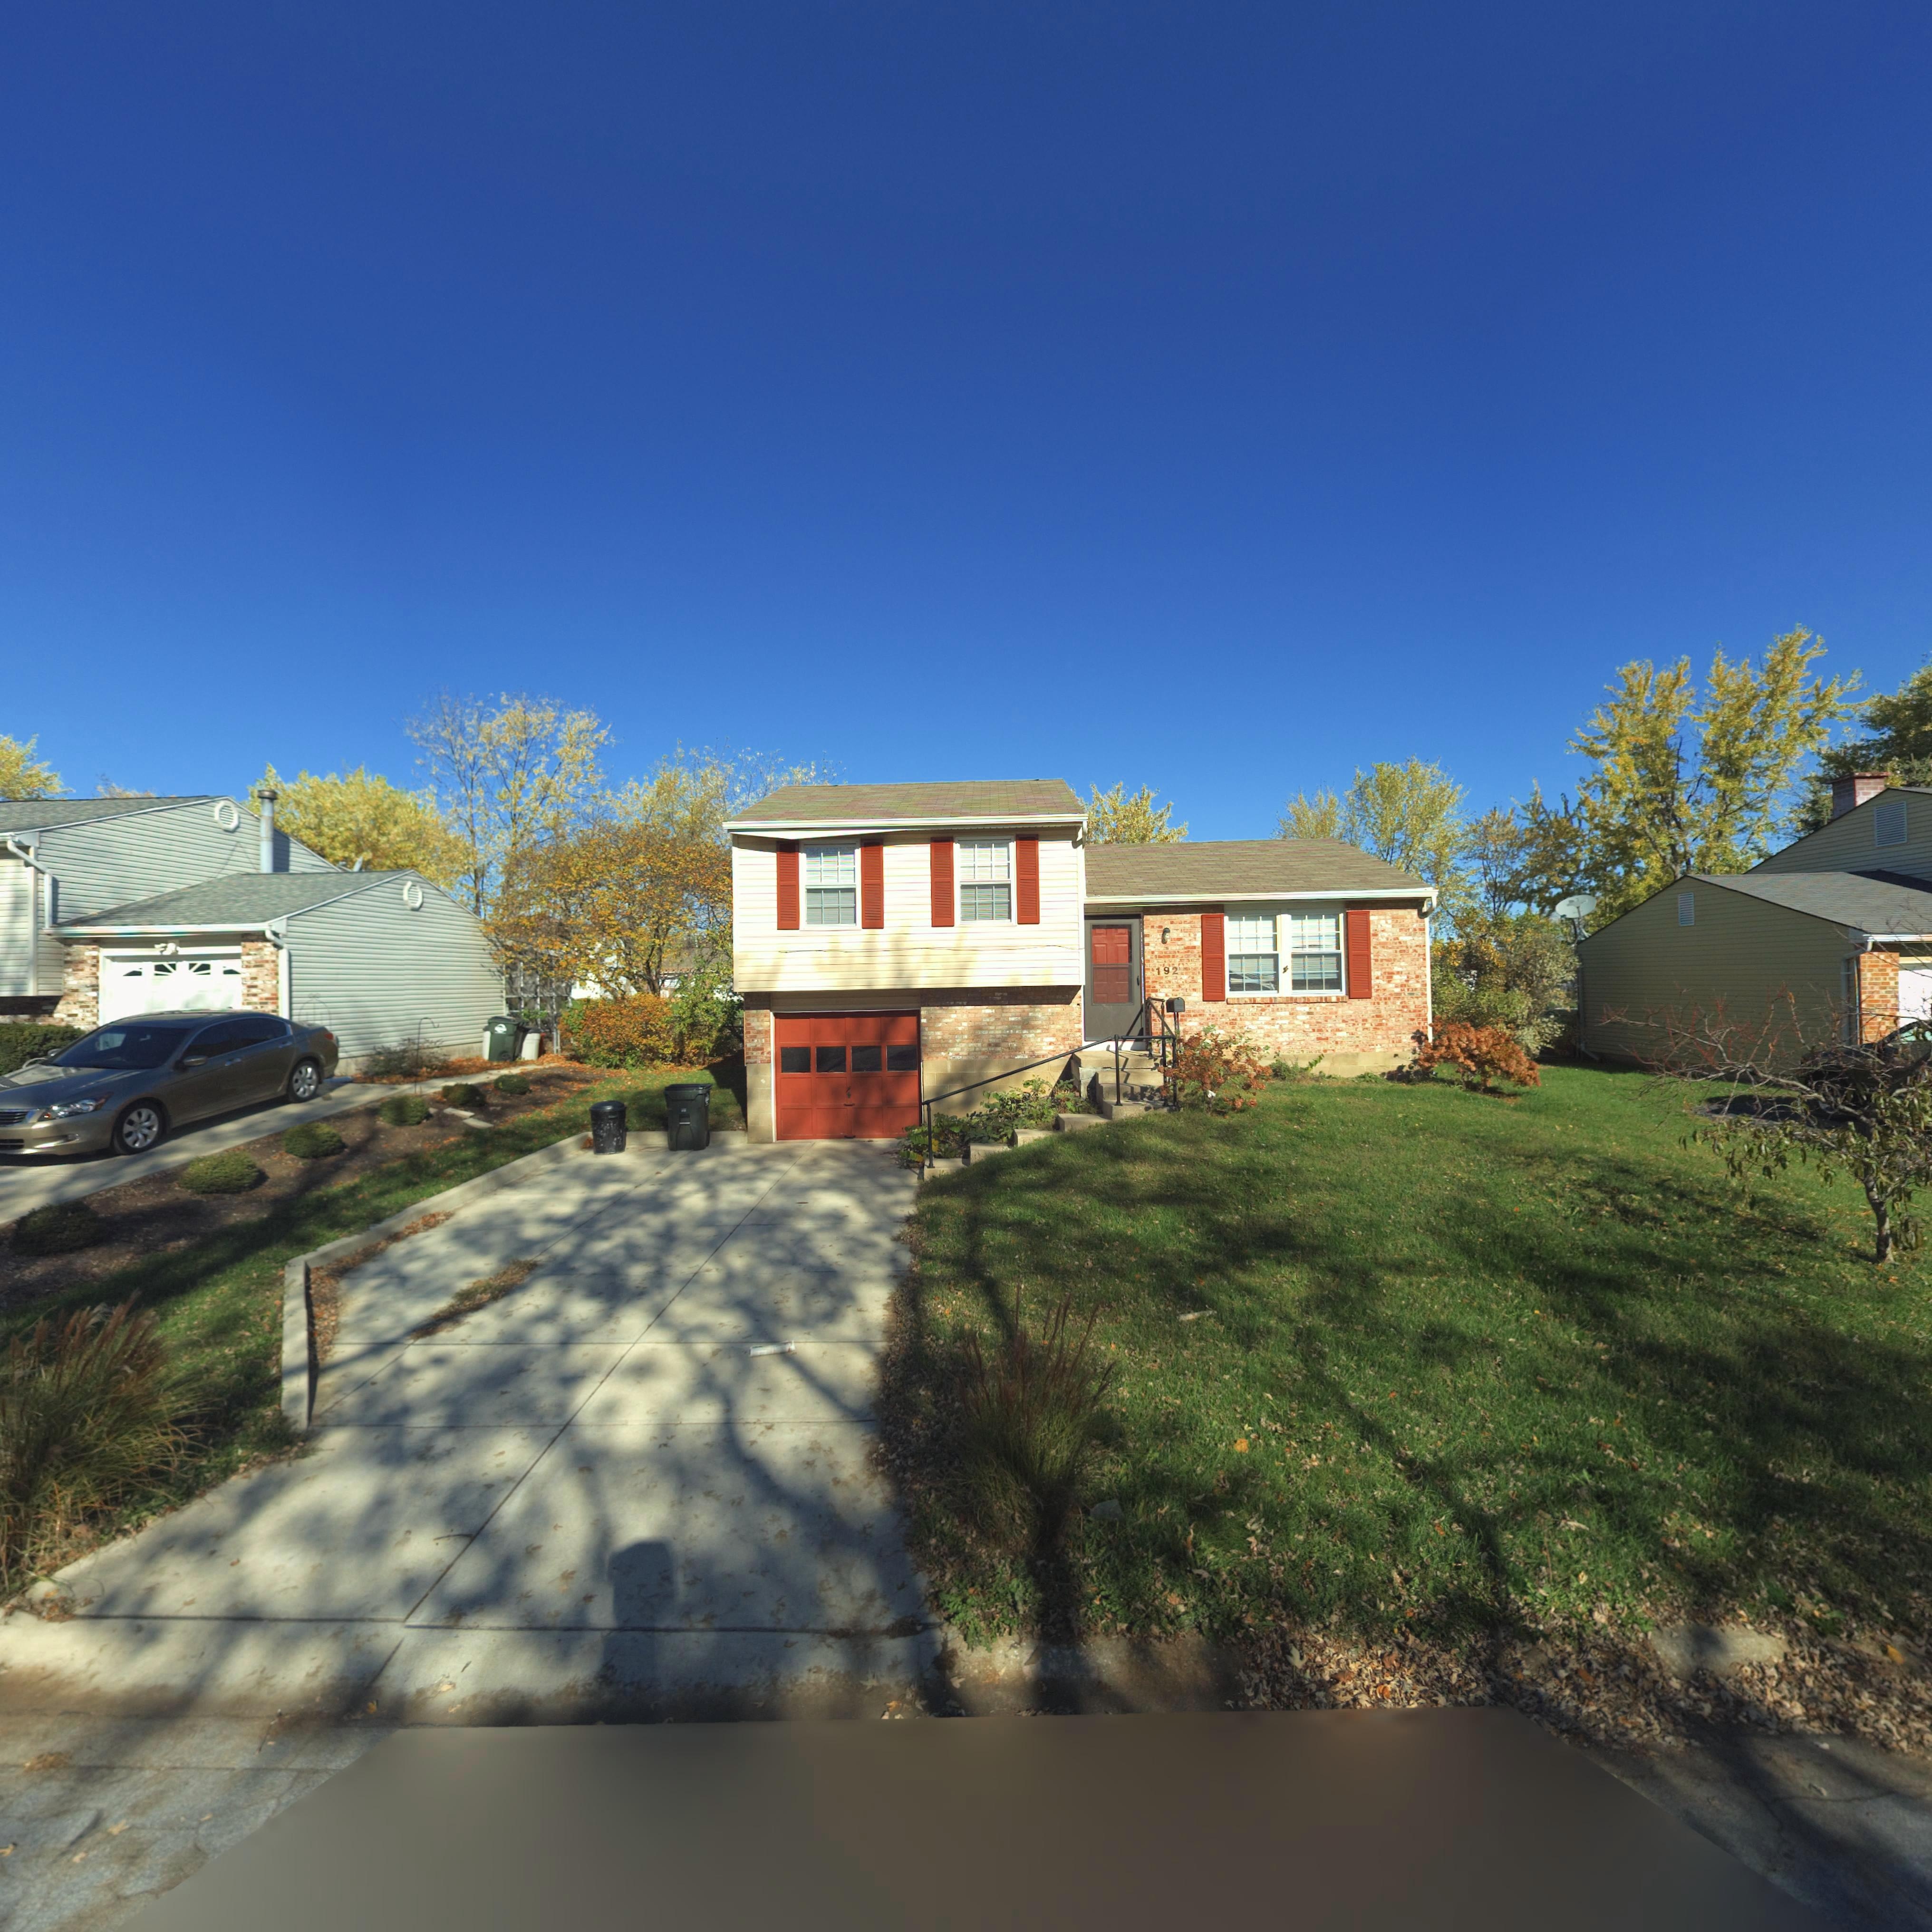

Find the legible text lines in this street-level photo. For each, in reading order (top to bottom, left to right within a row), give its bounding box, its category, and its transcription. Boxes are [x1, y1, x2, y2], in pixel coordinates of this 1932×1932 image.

[1155, 965, 1179, 976] StreetNumber: 192